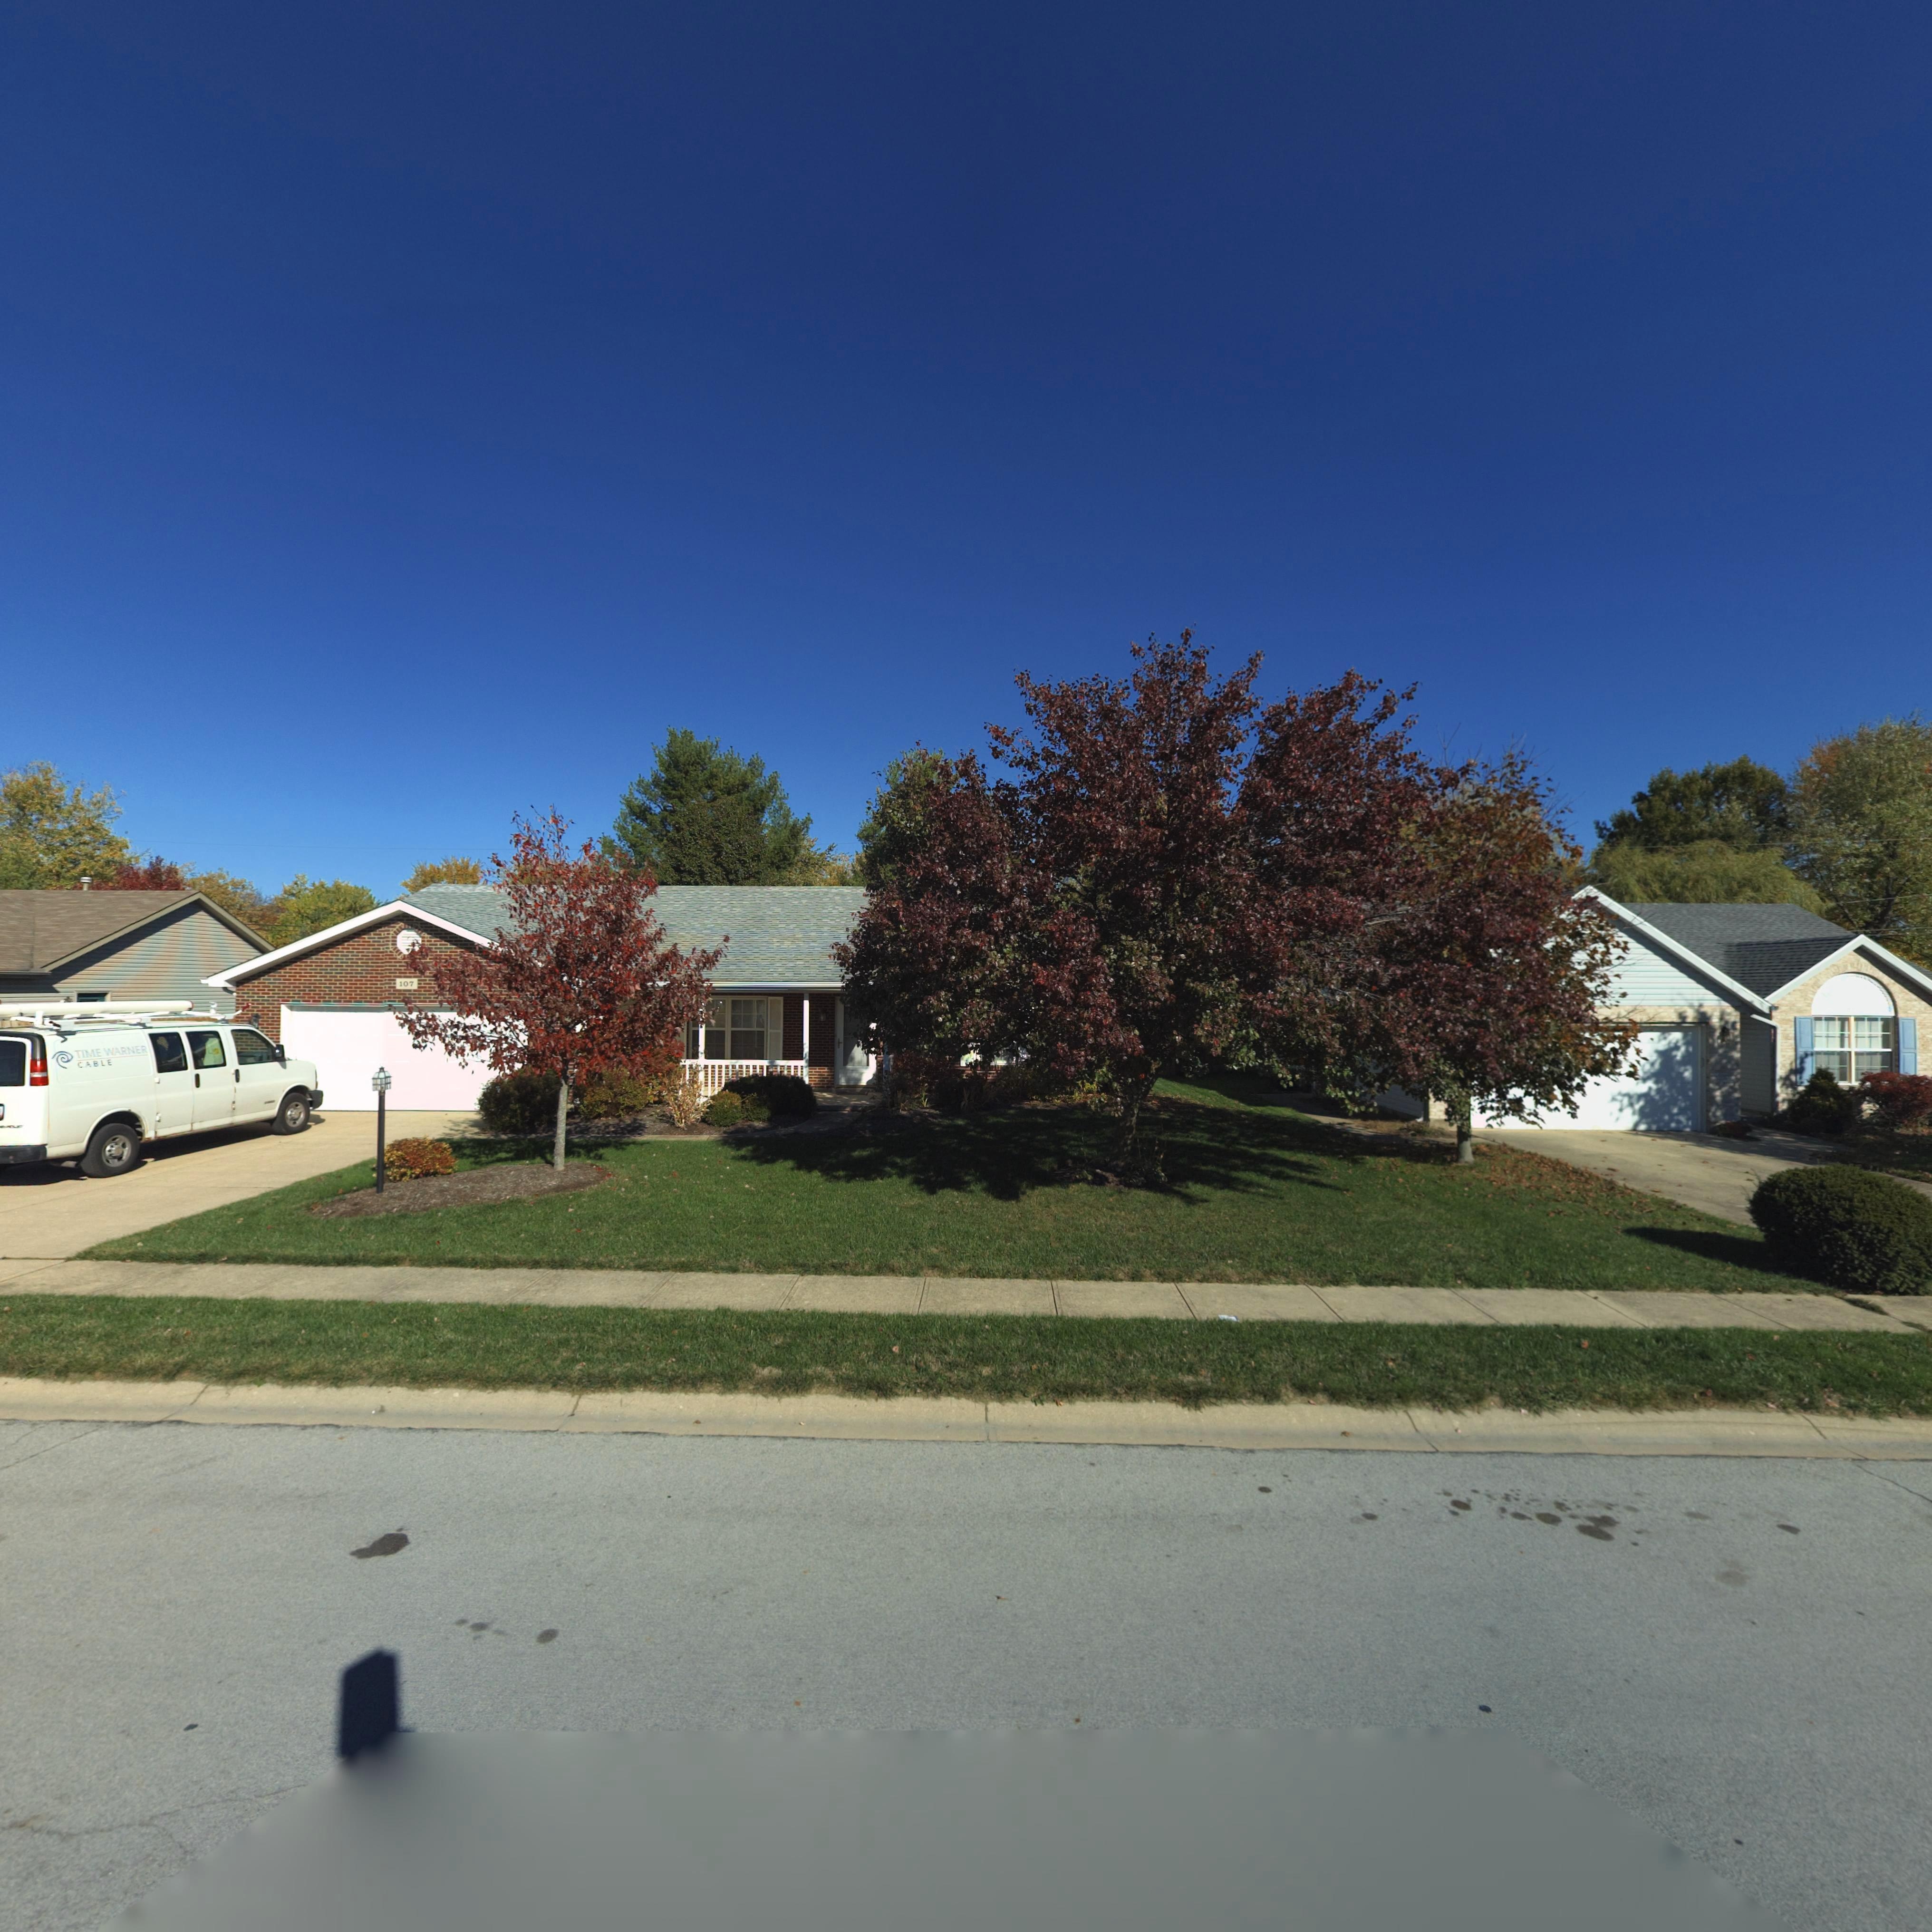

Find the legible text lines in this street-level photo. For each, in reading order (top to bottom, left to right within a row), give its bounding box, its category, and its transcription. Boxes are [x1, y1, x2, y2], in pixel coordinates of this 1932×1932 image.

[398, 981, 414, 987] StreetNumber: 107